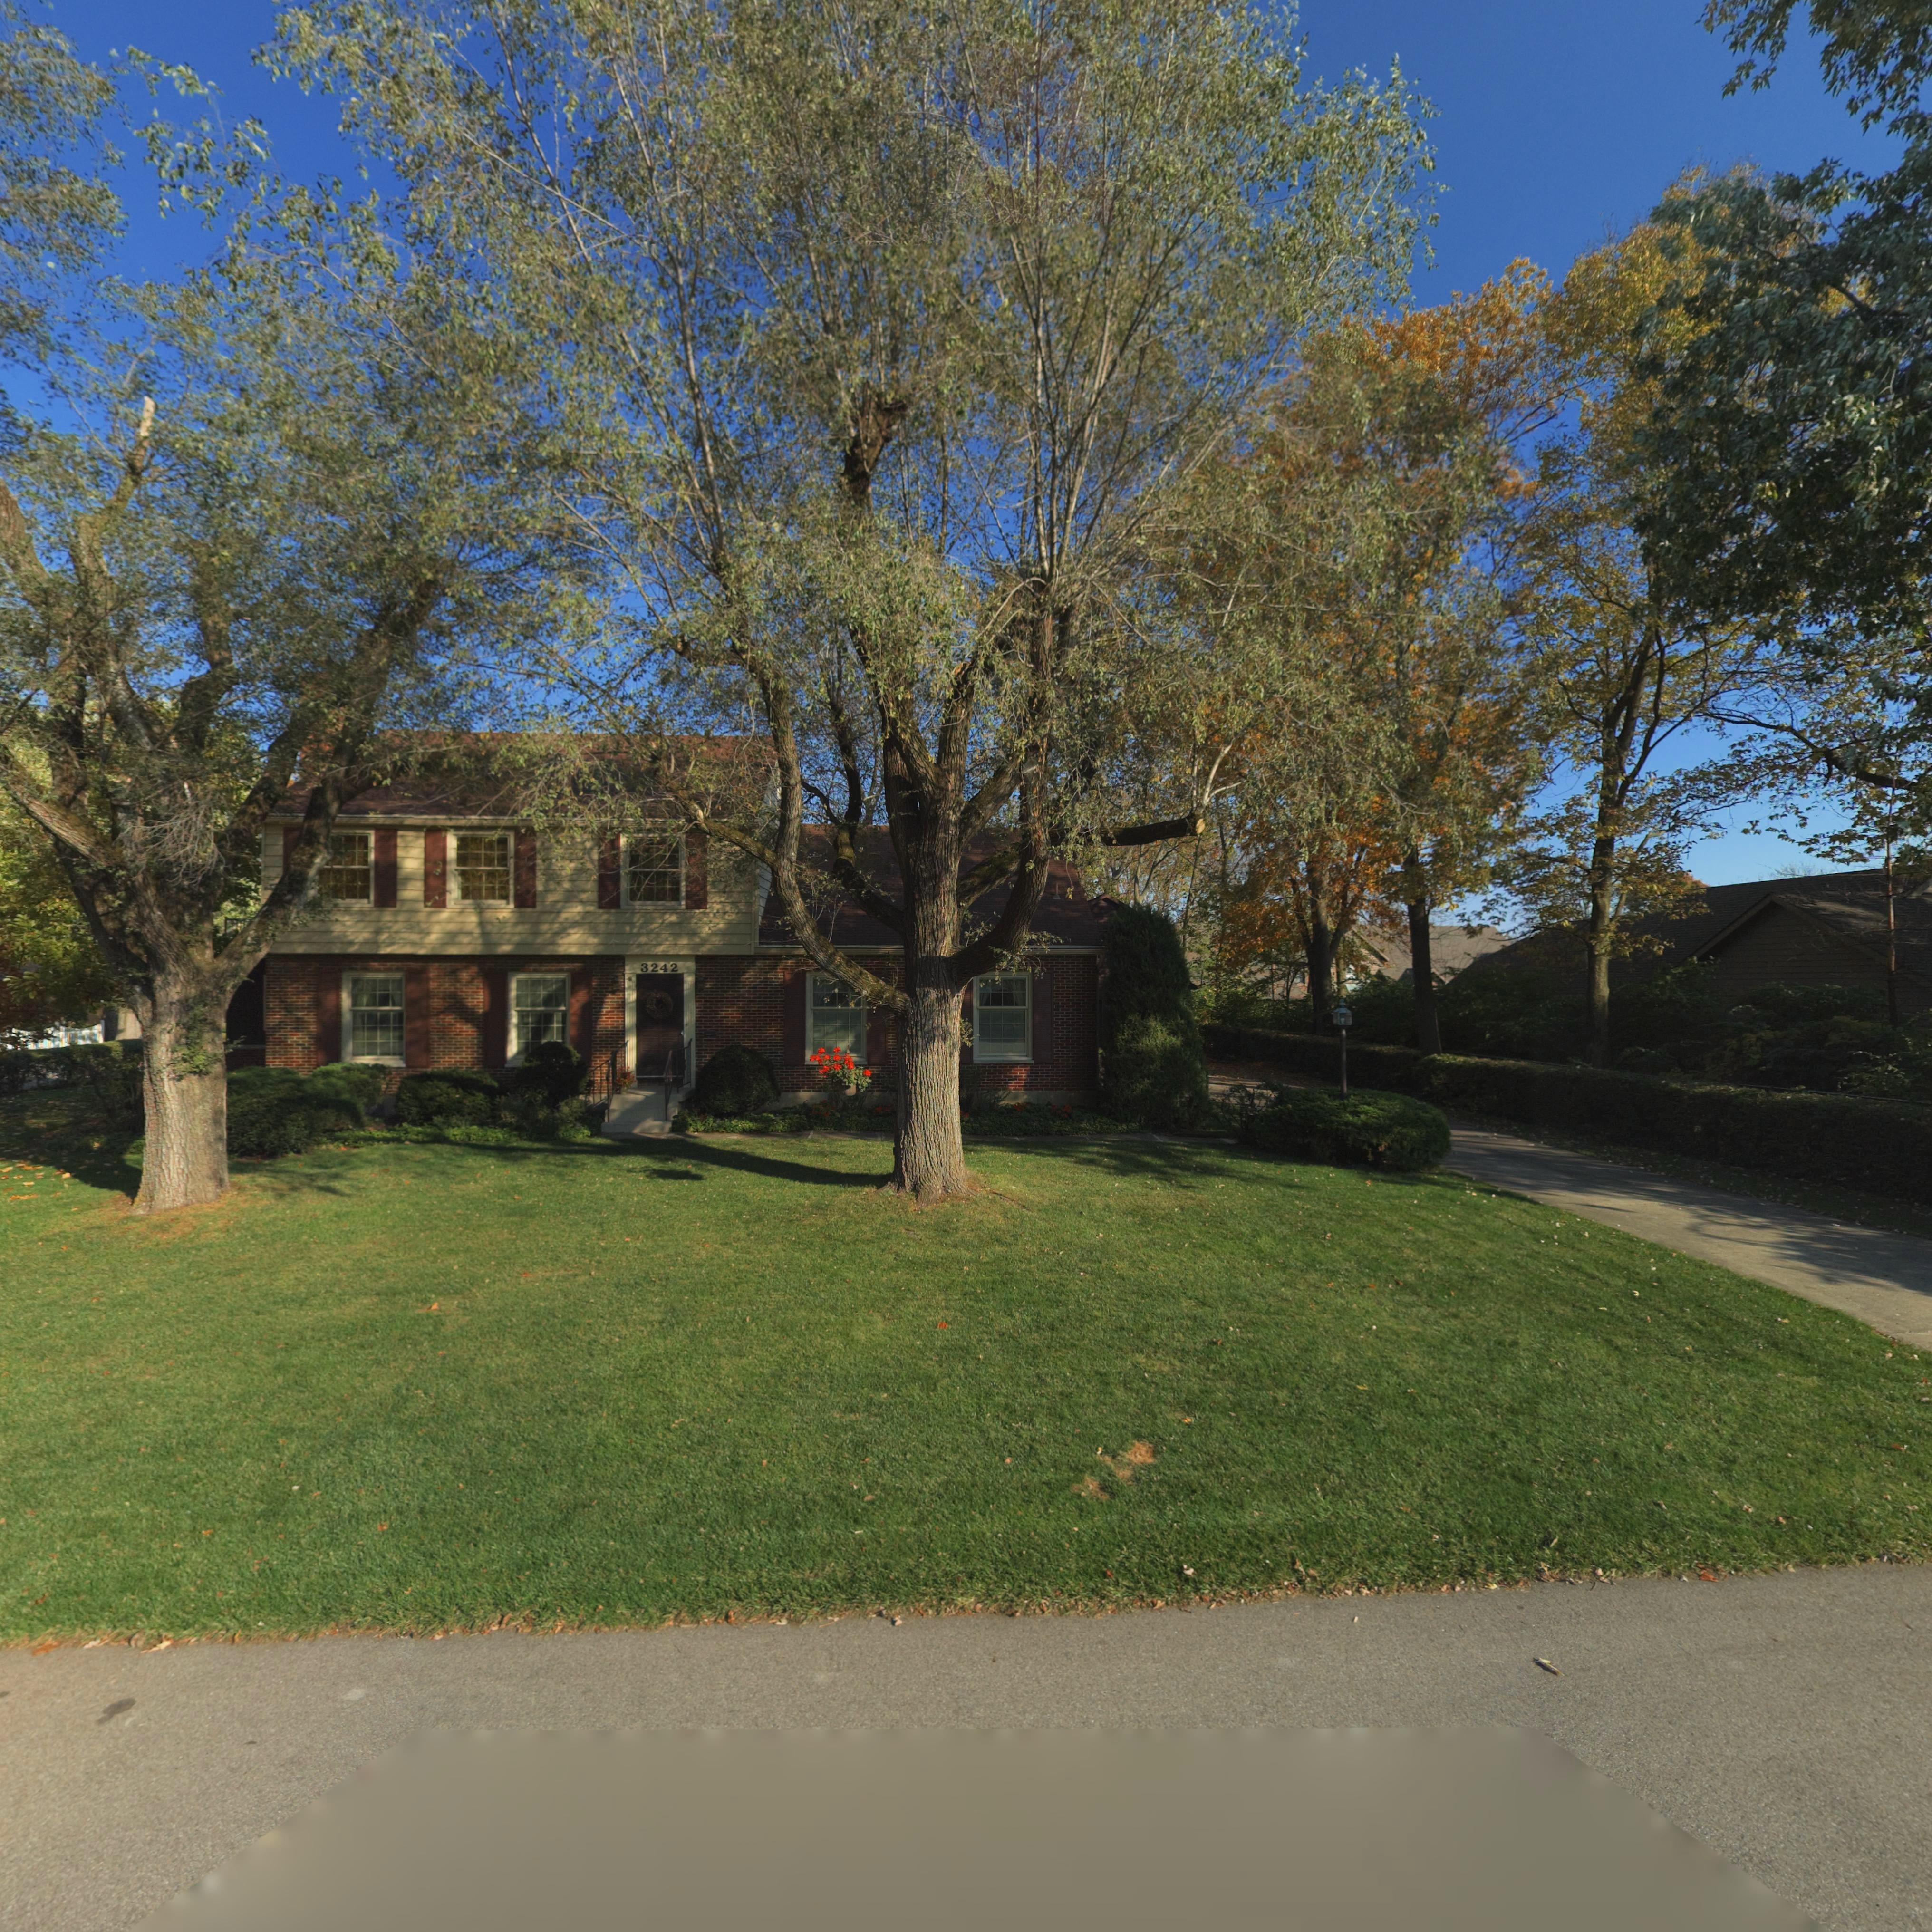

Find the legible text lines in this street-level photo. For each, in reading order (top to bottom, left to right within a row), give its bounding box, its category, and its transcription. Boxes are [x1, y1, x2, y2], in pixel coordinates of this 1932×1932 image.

[640, 962, 678, 972] StreetNumber: 3242